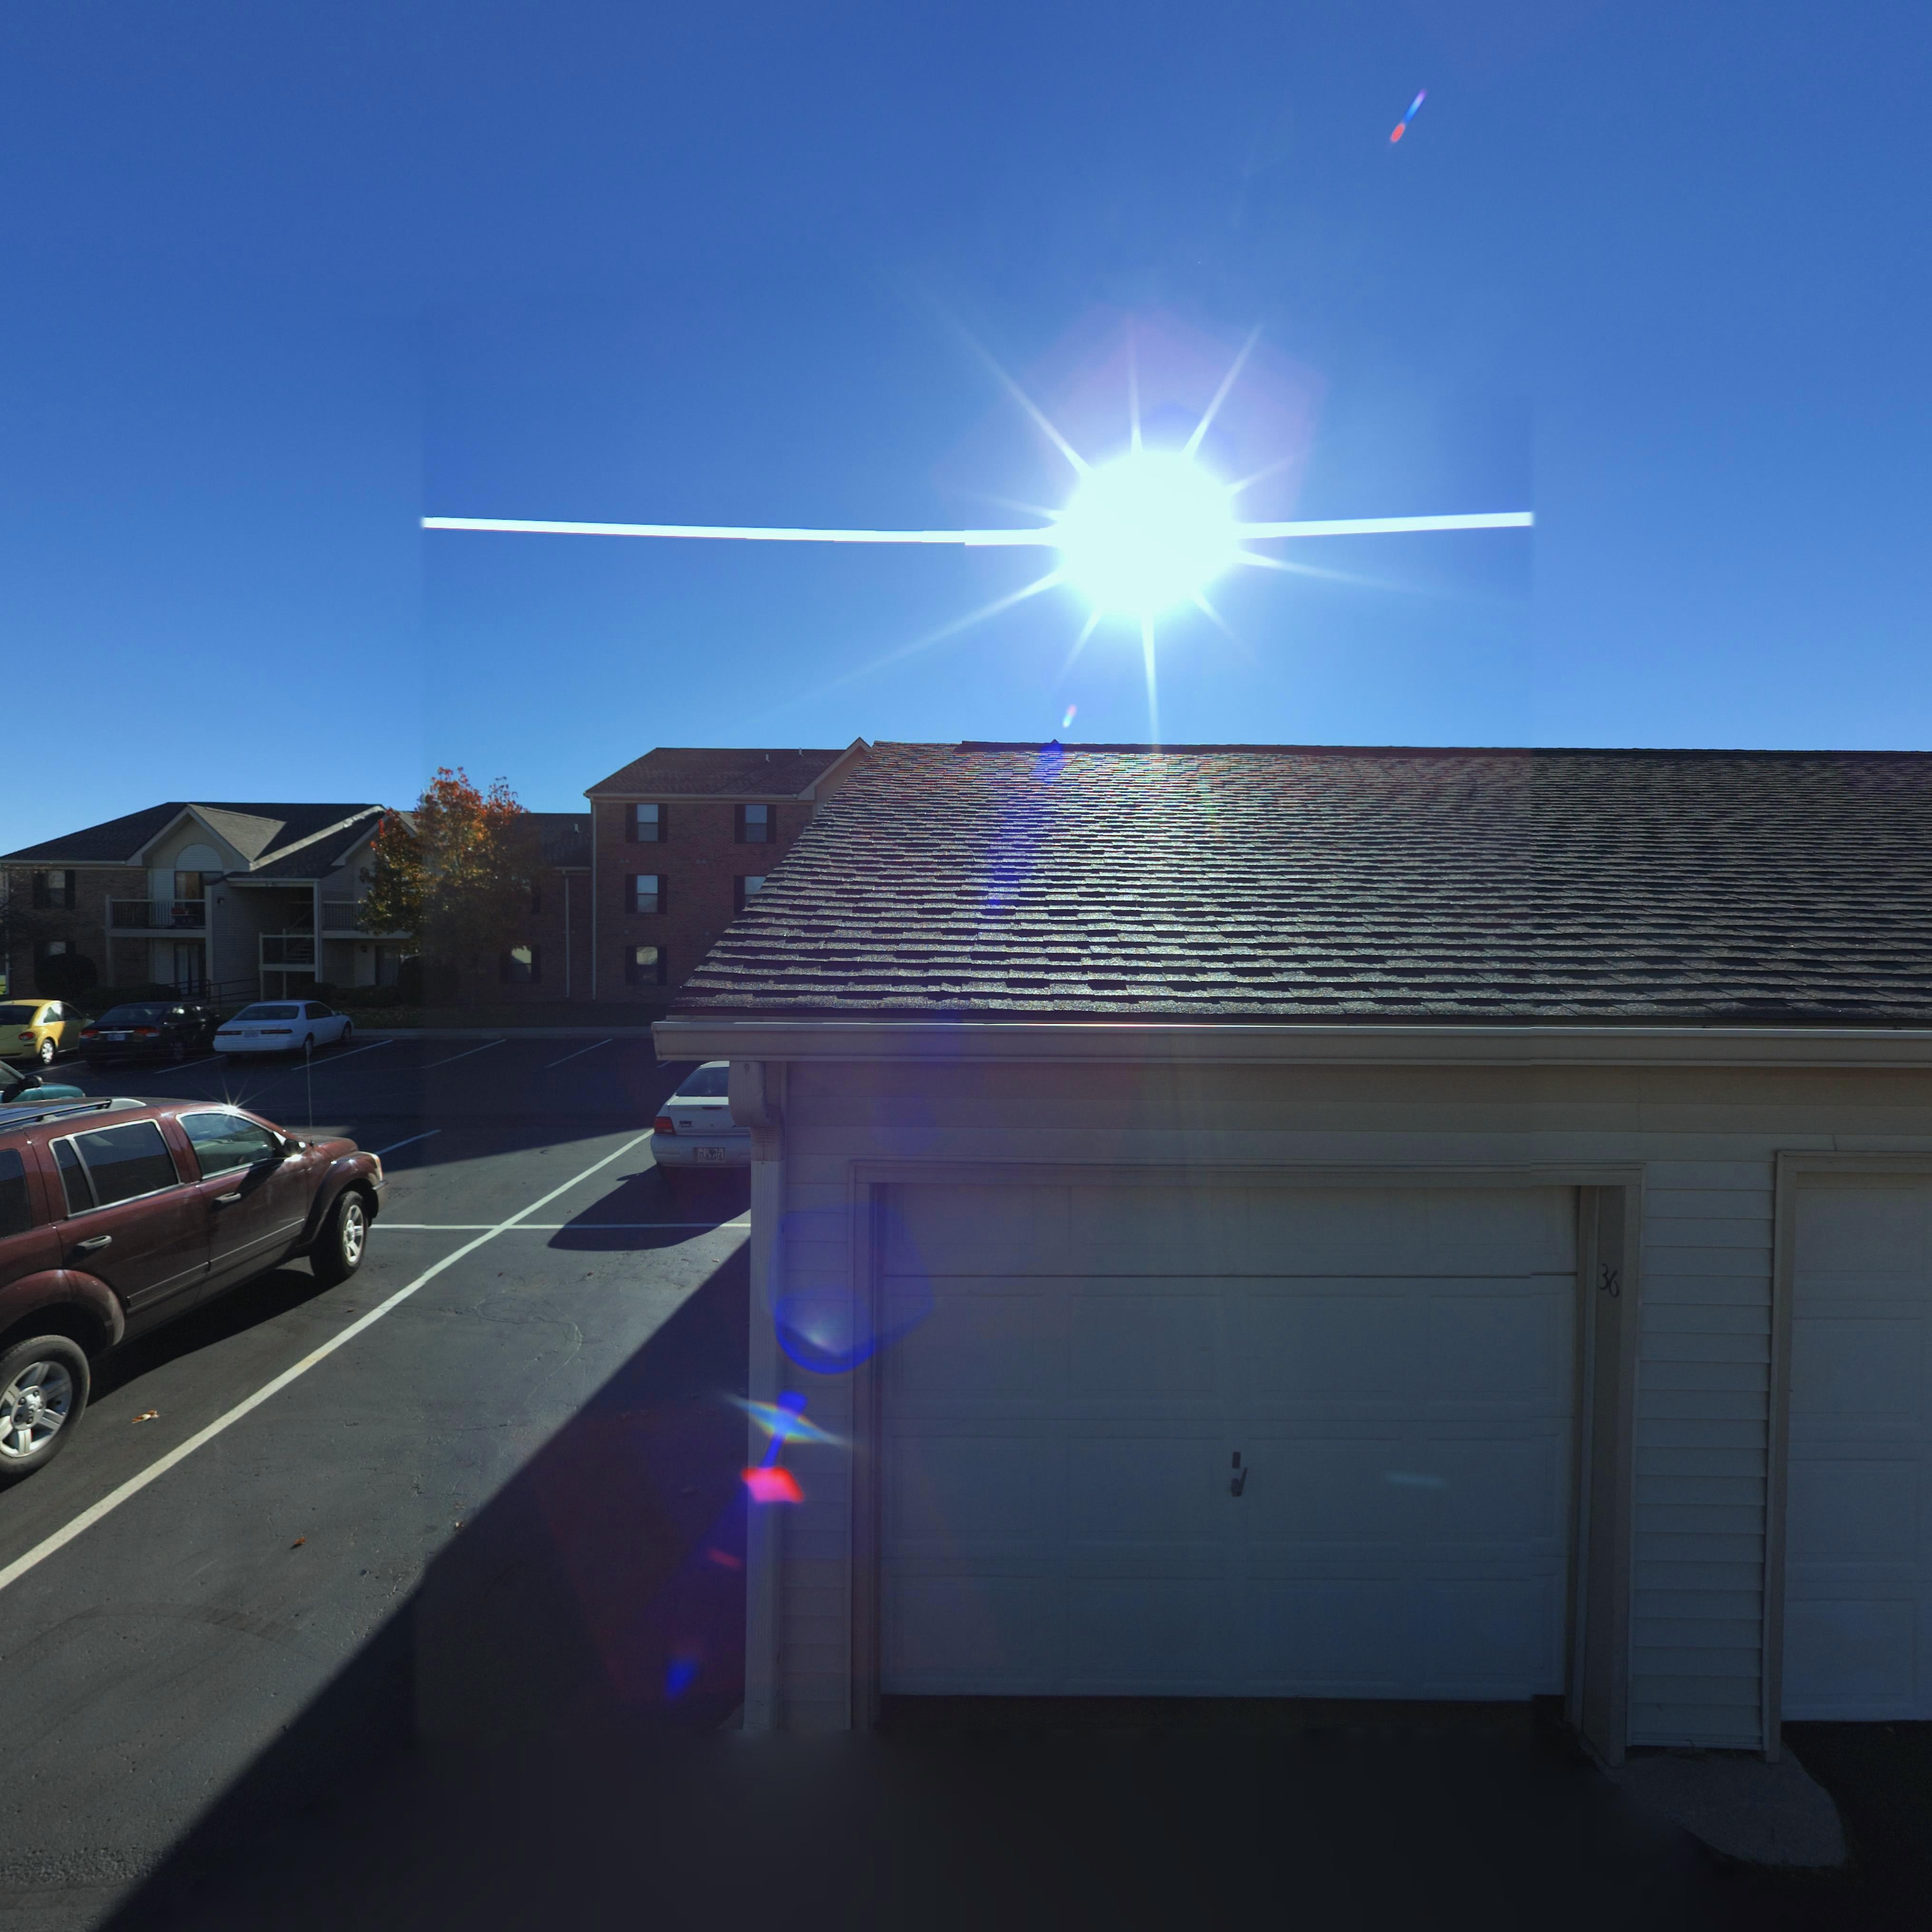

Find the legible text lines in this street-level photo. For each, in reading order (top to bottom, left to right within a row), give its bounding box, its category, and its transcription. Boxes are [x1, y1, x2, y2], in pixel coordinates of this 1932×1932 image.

[1597, 1260, 1621, 1301] StreetNumber: 36